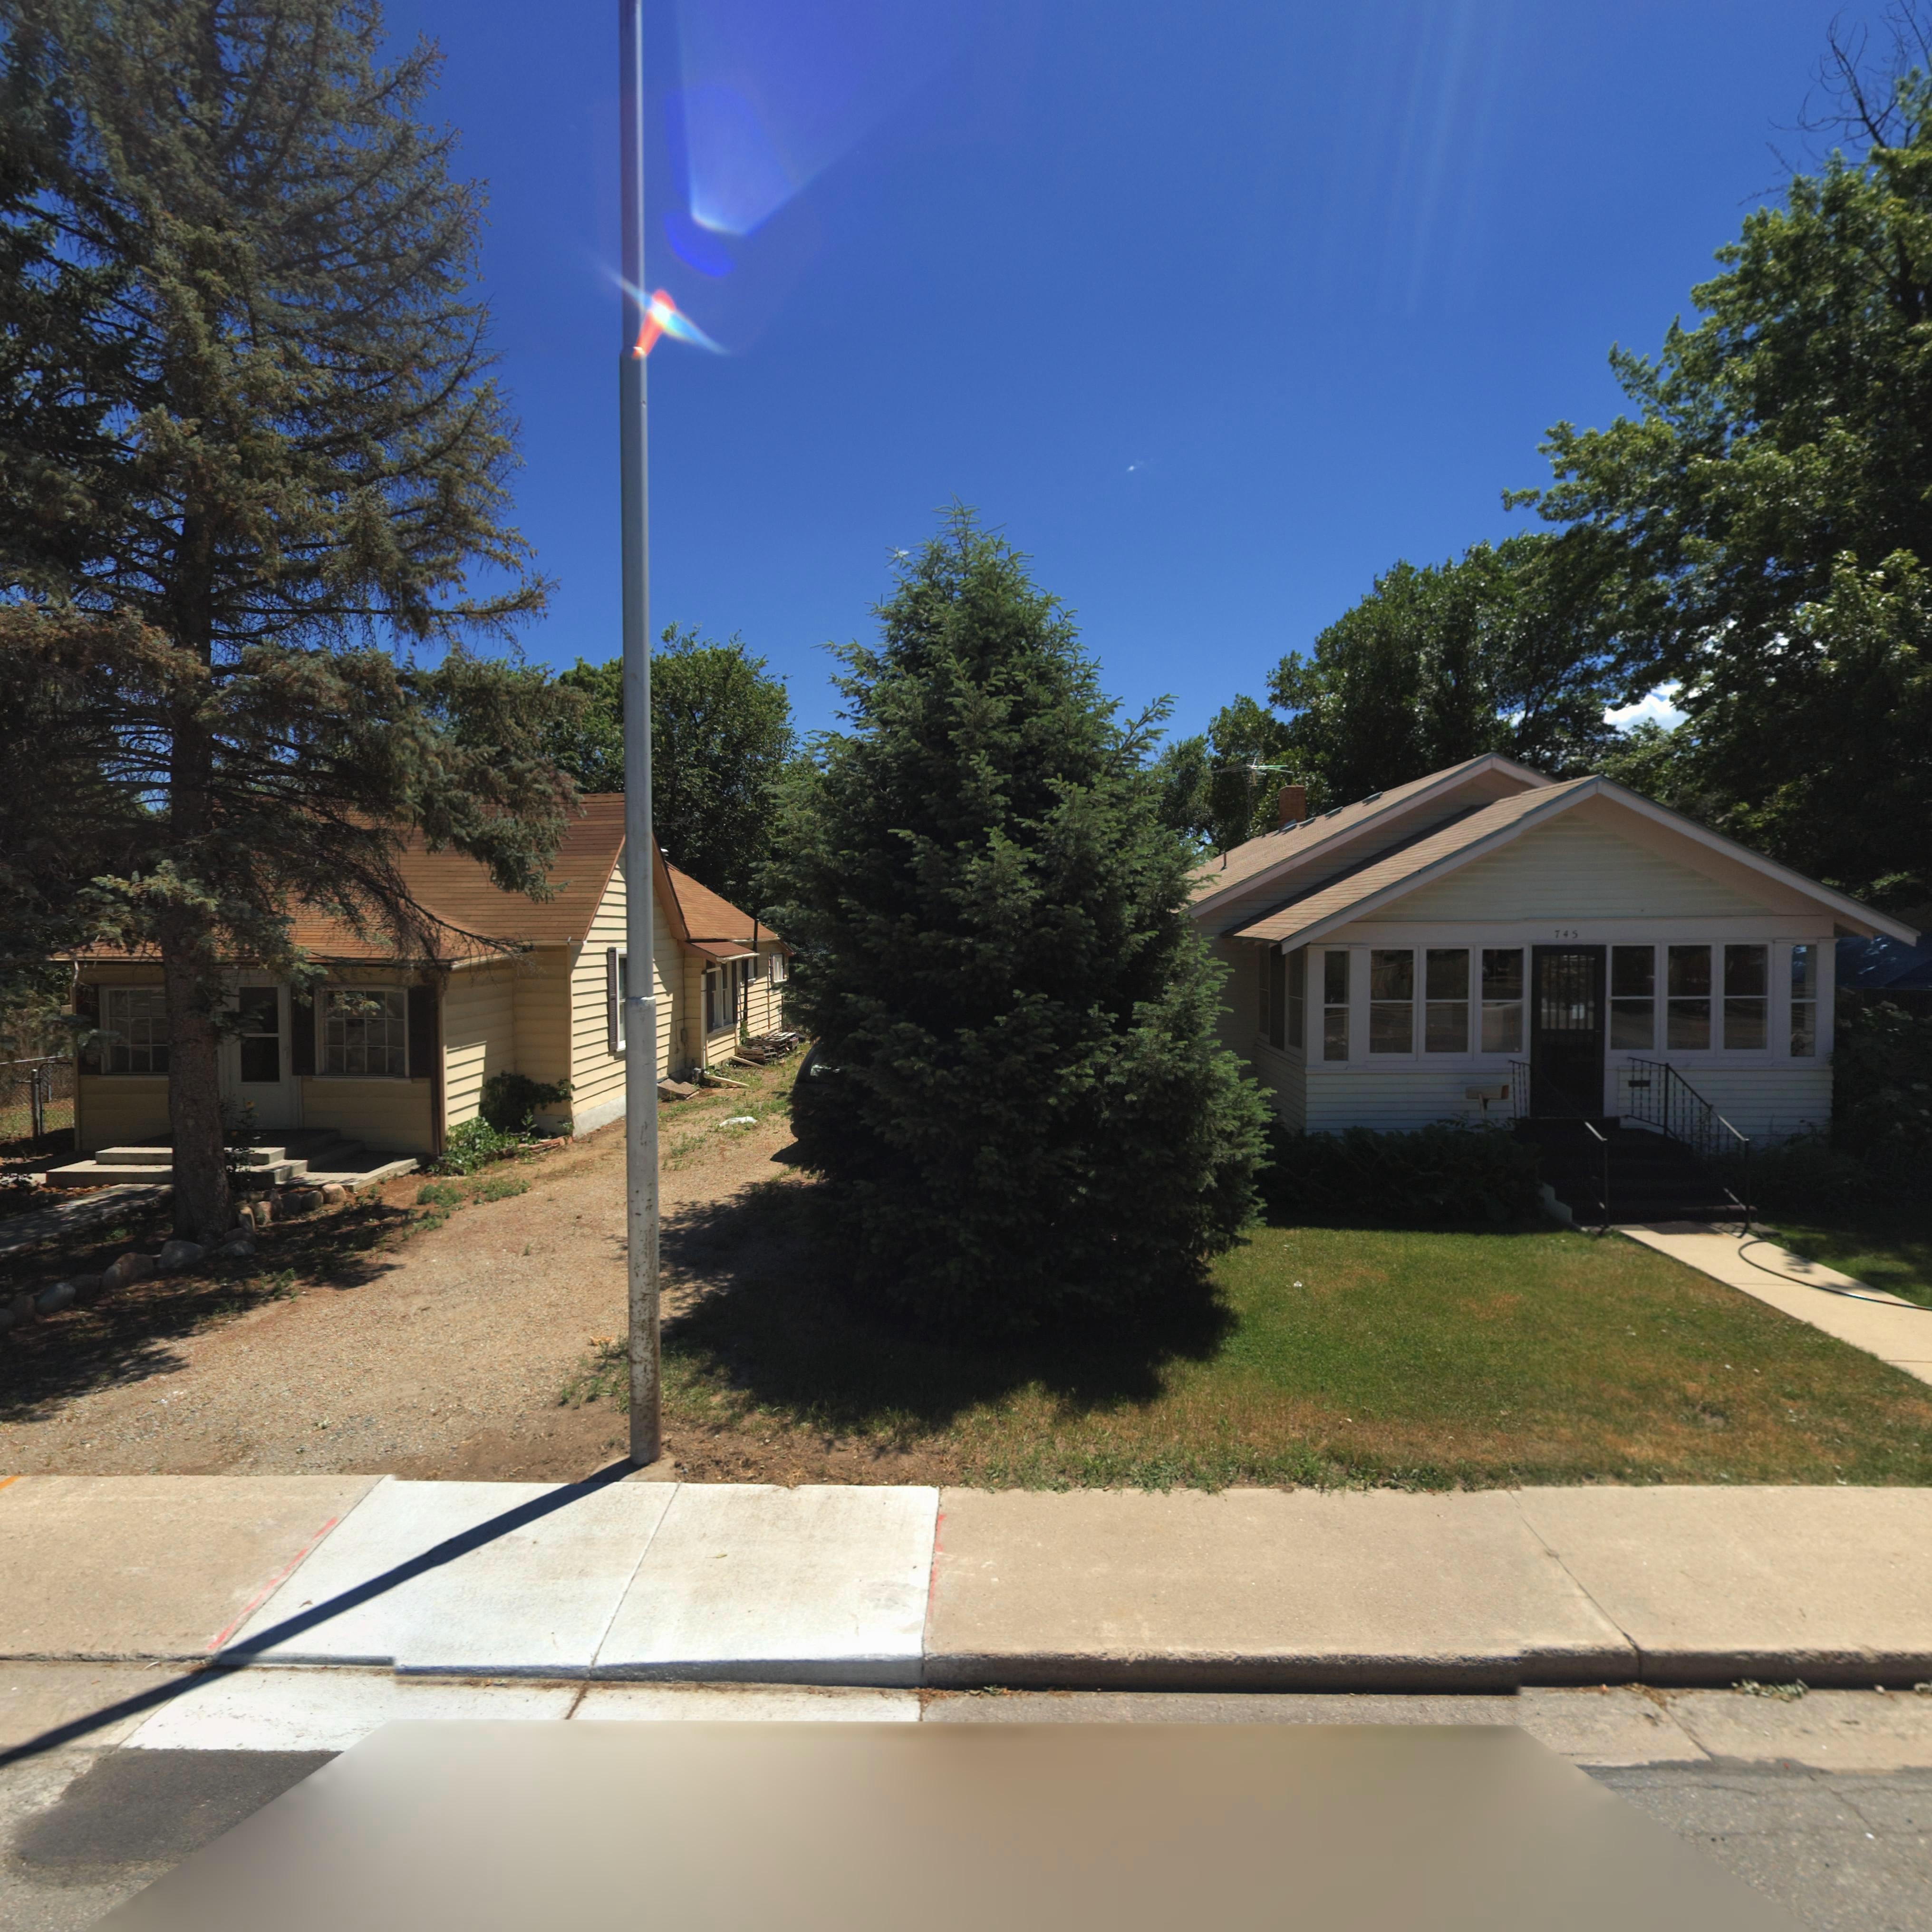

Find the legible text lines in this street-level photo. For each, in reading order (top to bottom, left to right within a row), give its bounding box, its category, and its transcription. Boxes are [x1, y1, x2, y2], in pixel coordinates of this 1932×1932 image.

[1554, 929, 1578, 939] StreetNumber: 745